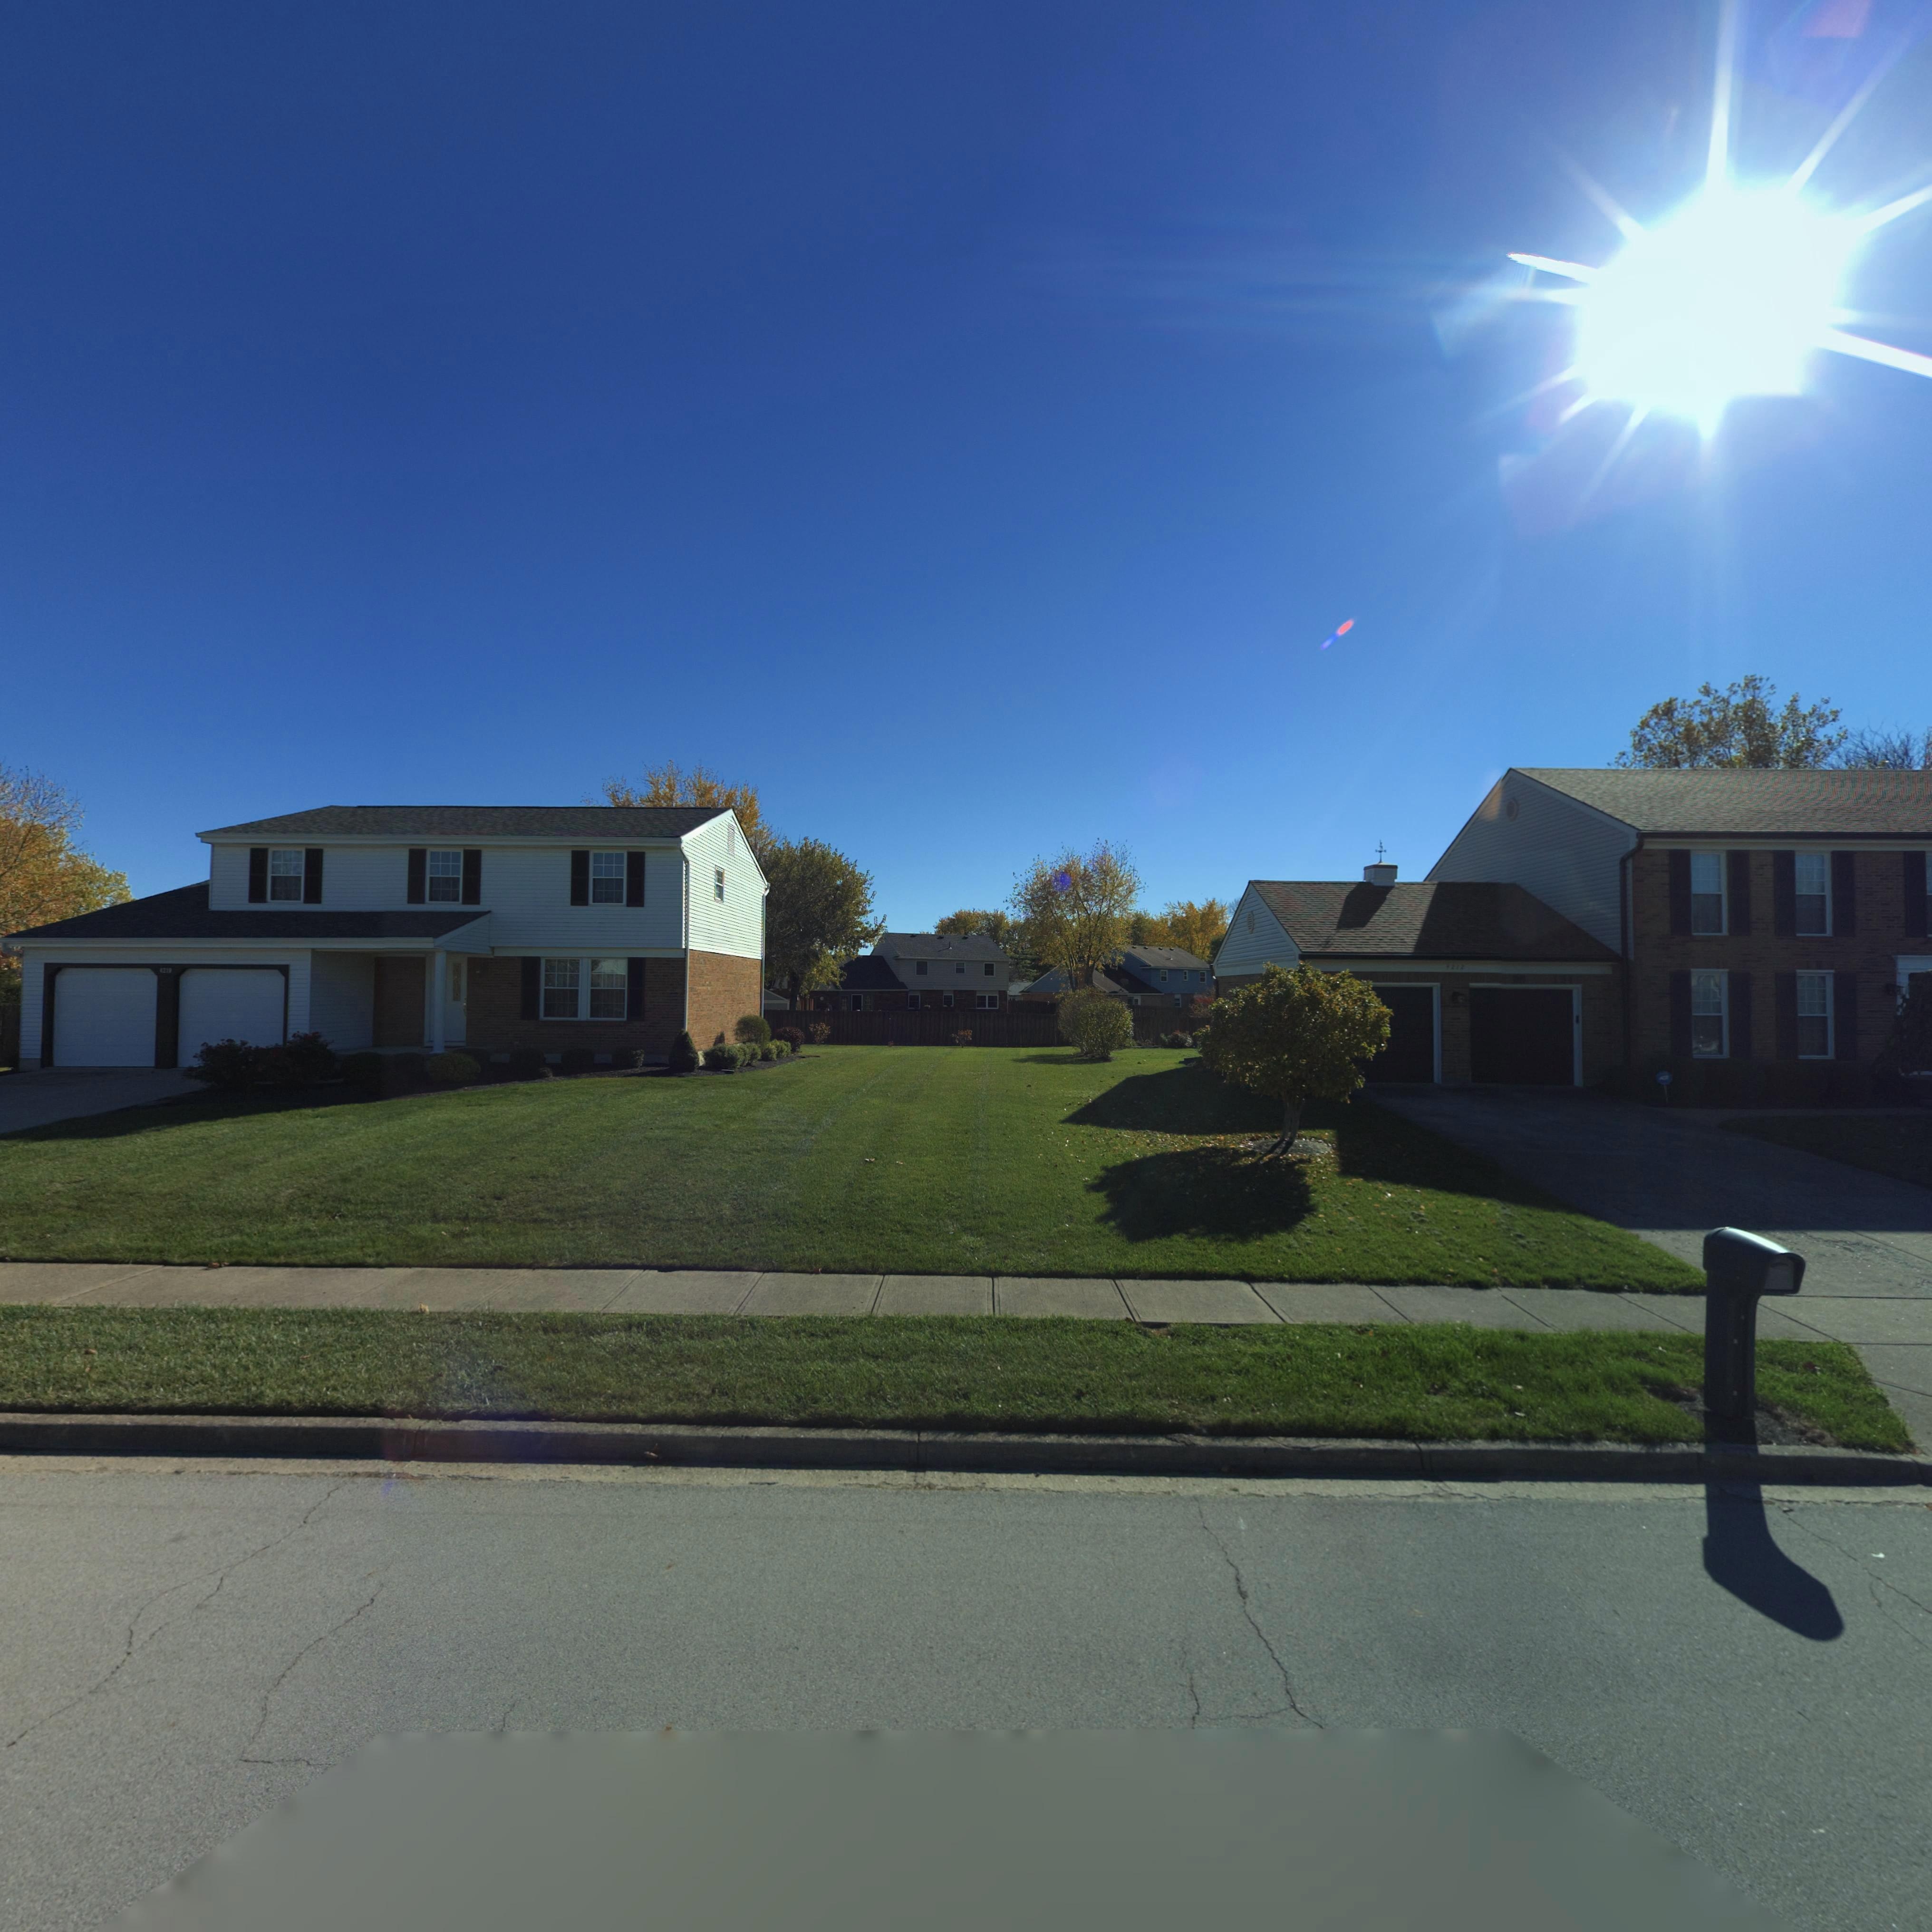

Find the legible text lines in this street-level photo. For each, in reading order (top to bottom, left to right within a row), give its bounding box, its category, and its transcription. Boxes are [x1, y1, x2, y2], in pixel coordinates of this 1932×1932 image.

[1445, 963, 1466, 971] StreetNumber: **1*